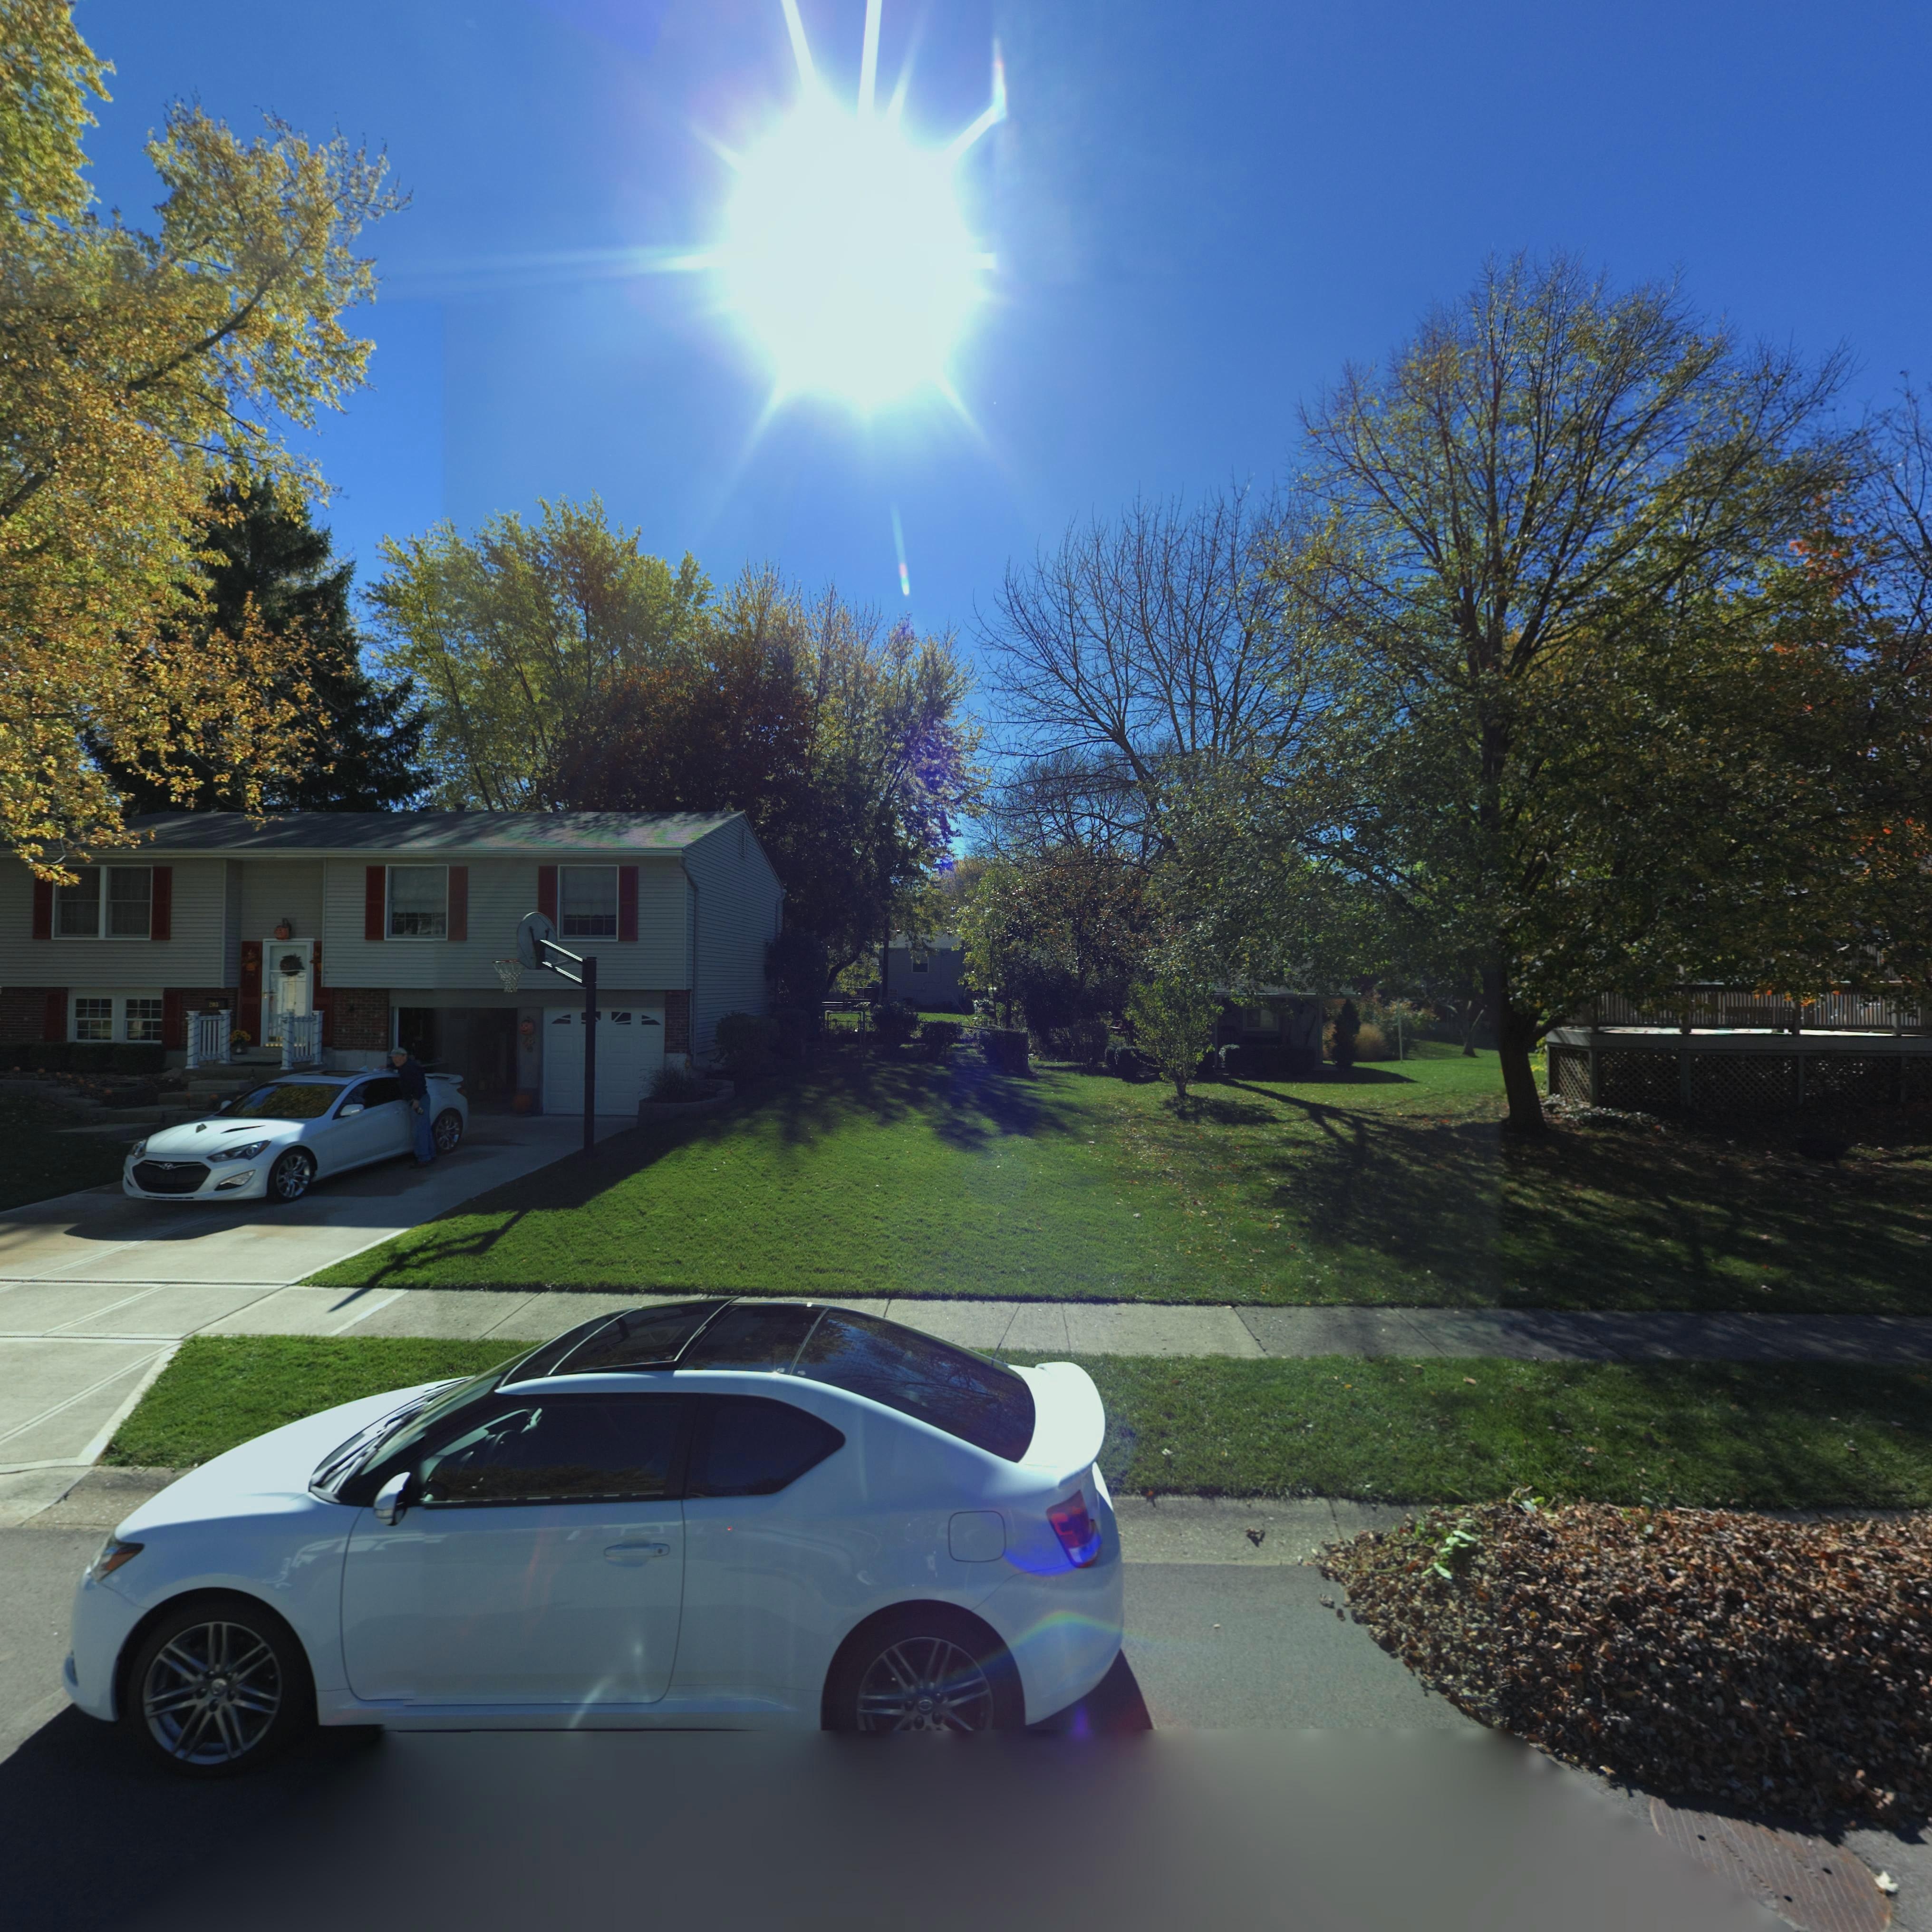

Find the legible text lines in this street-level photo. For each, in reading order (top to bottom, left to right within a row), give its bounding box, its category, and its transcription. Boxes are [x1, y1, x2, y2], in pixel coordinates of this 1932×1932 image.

[208, 1001, 220, 1008] StreetNumber: 2*3